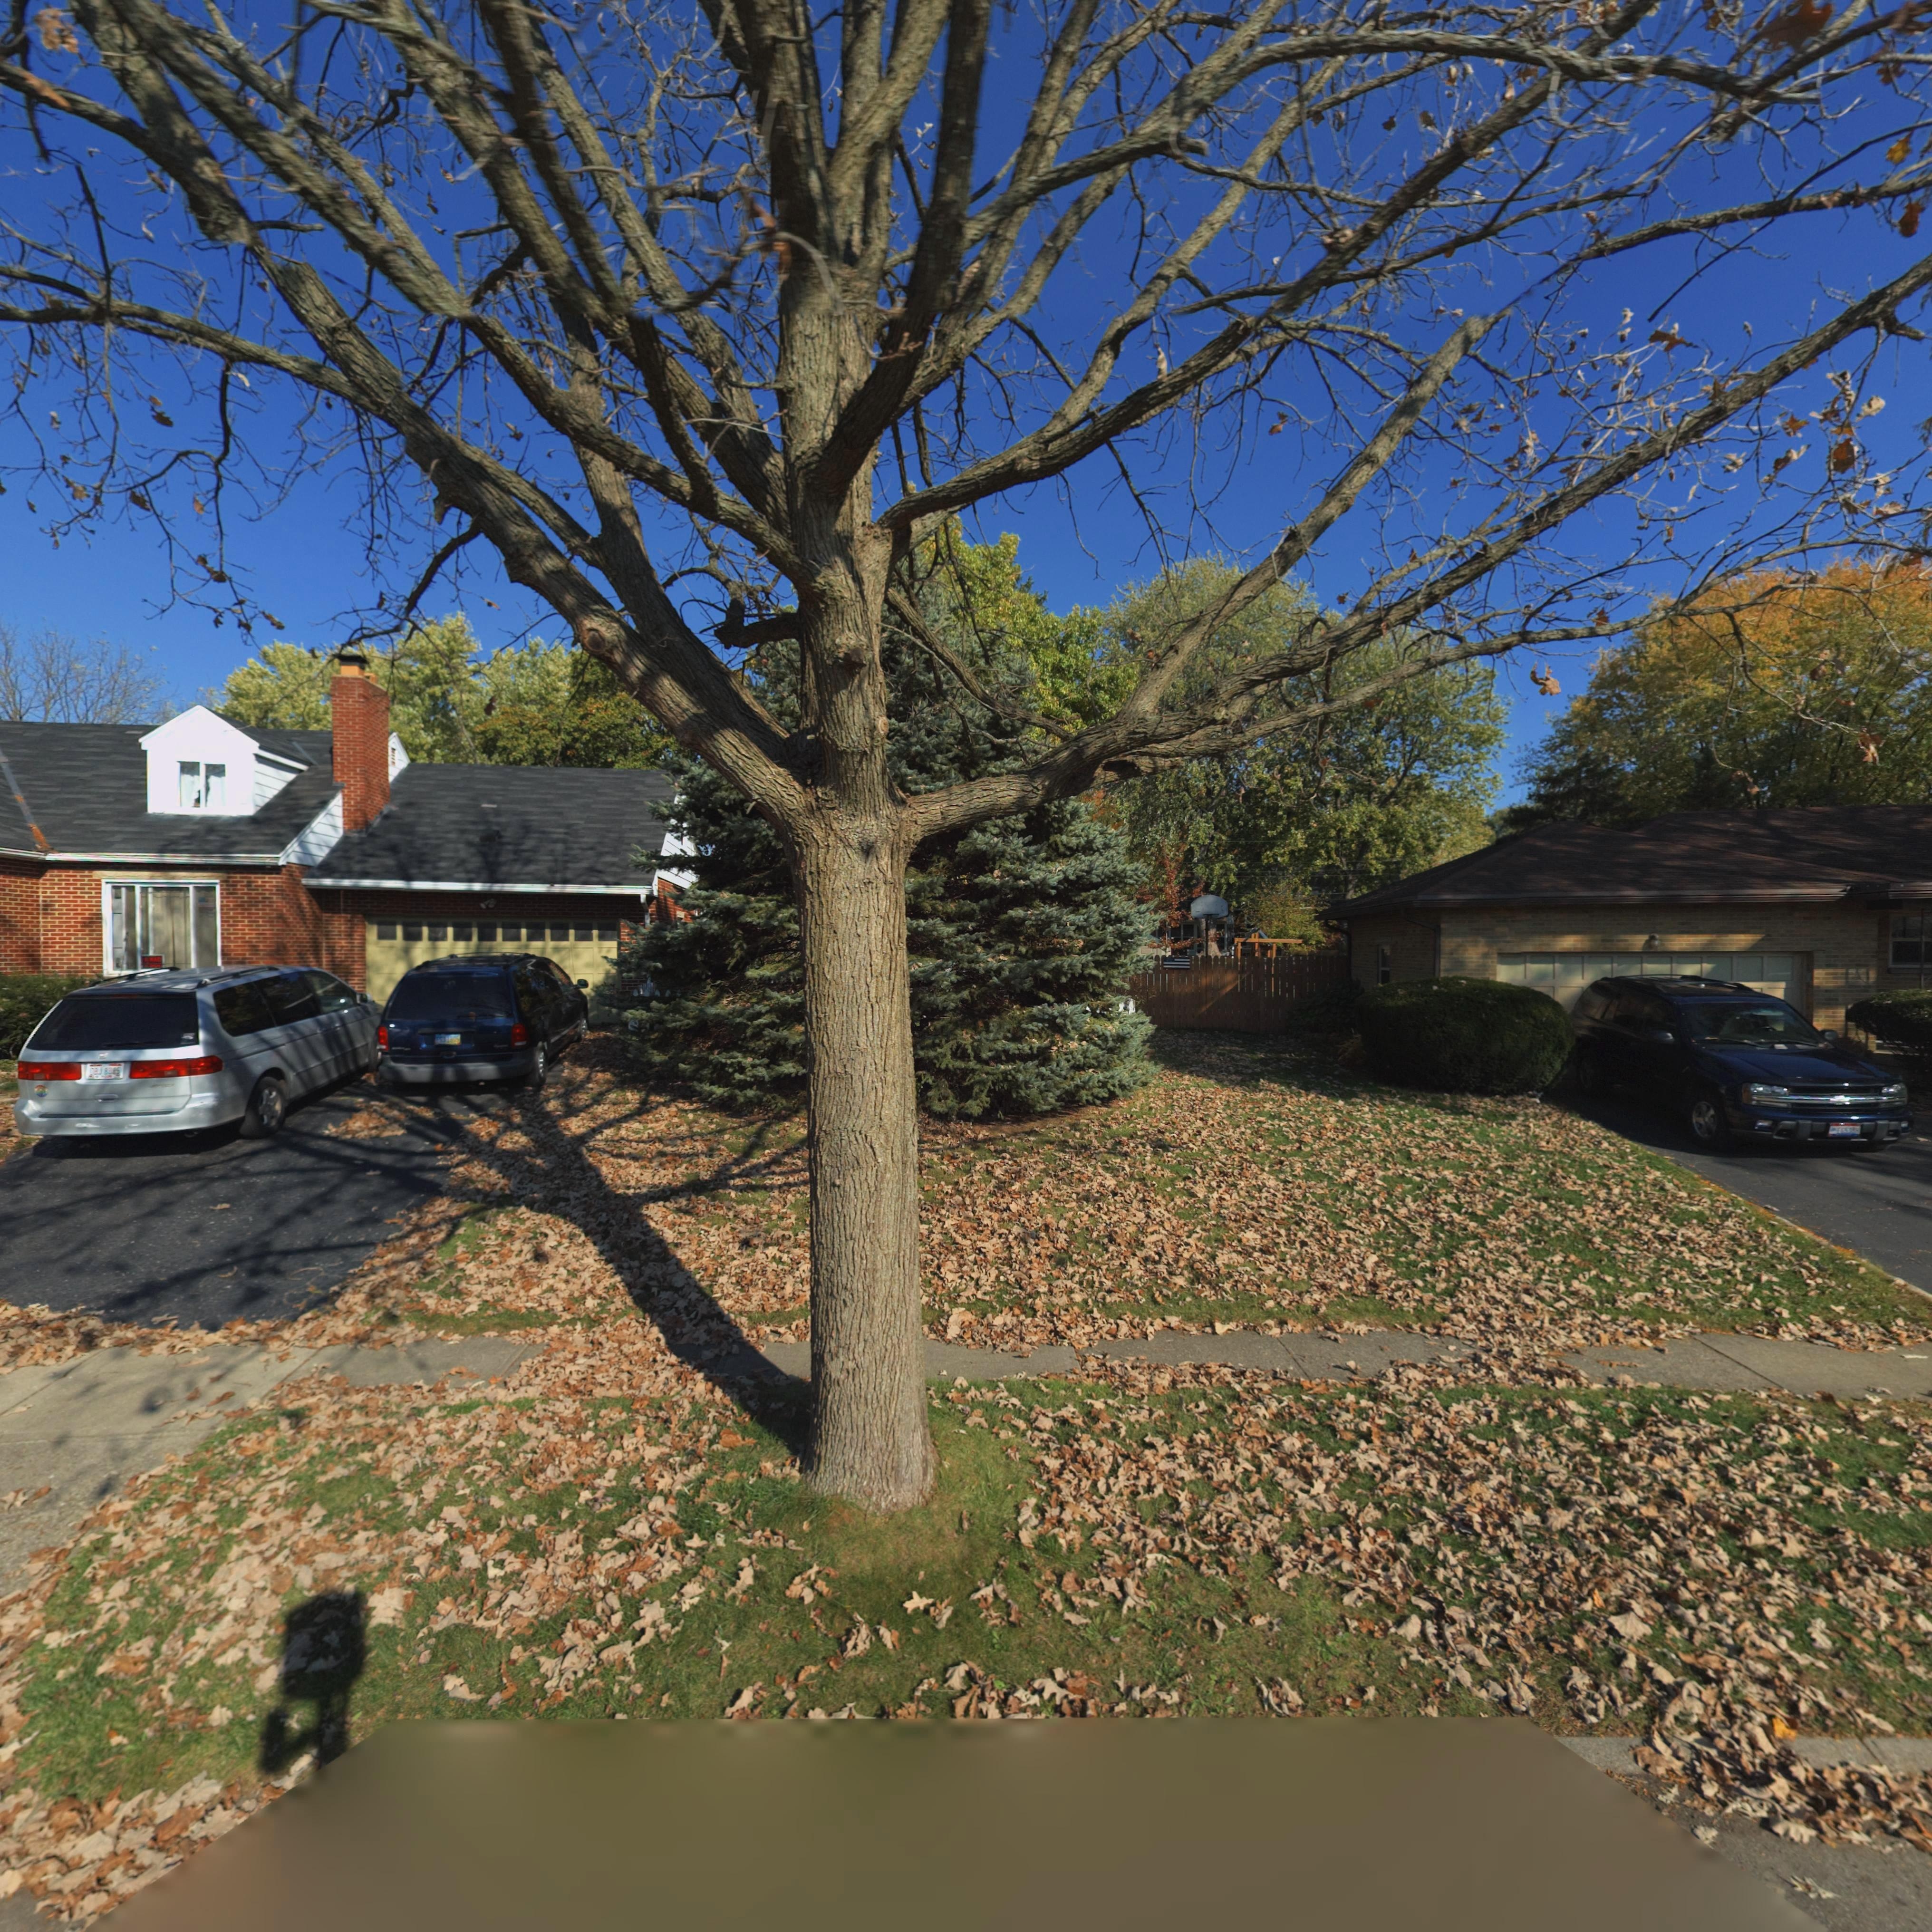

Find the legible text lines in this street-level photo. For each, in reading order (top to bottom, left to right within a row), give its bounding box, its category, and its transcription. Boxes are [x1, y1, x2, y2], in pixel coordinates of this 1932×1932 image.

[436, 1035, 460, 1043] None: ES**1**5
[89, 1066, 121, 1076] None: DBJ*8*85
[1836, 1127, 1860, 1134] None: EG53BH